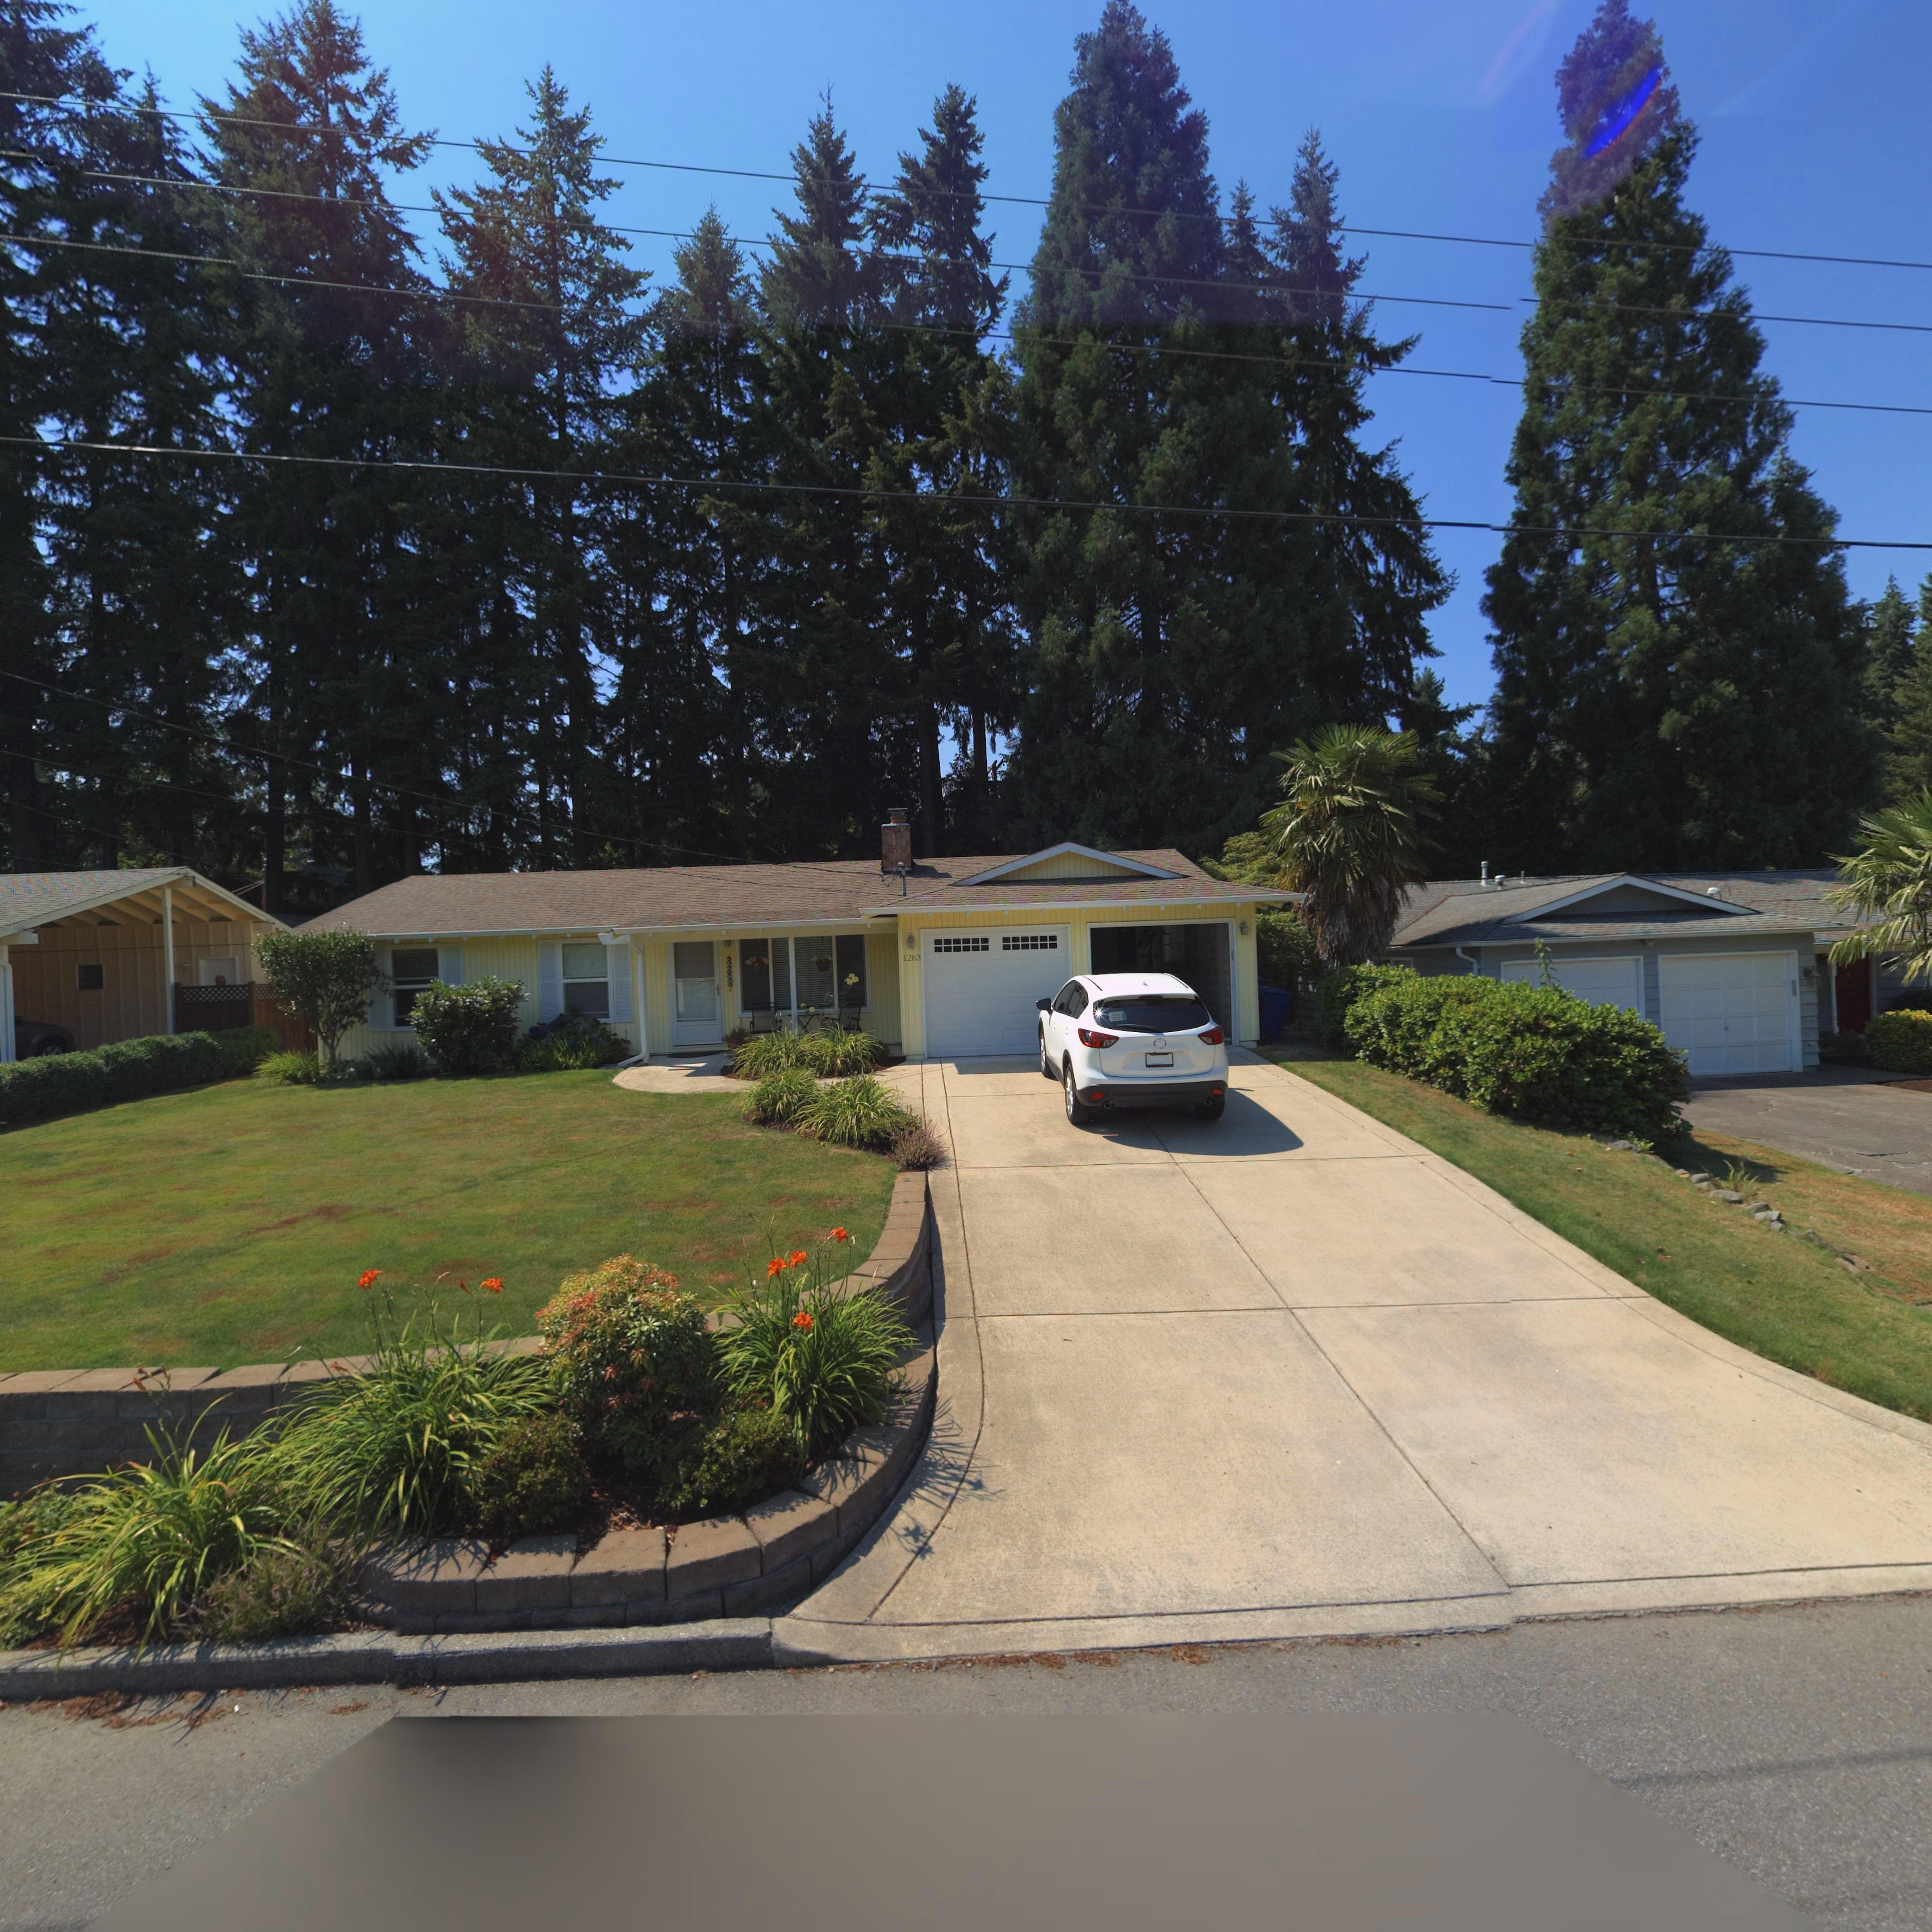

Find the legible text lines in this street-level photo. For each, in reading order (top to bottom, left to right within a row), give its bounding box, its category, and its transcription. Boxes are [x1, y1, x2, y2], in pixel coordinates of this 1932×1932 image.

[903, 953, 920, 961] StreetNumber: 1263